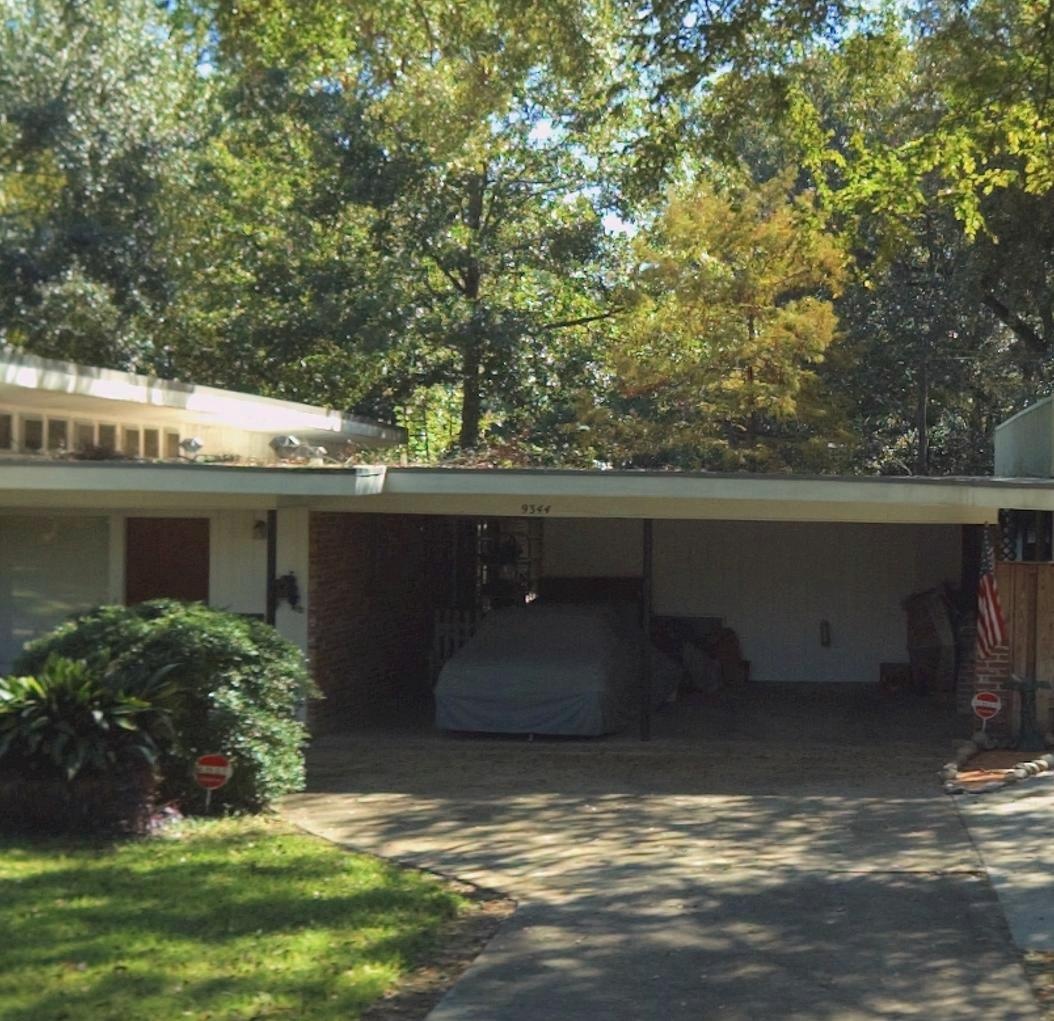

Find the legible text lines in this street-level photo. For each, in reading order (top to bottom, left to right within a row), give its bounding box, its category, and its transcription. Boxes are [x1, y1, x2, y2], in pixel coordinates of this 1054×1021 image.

[520, 502, 552, 516] StreetNumber: 9344